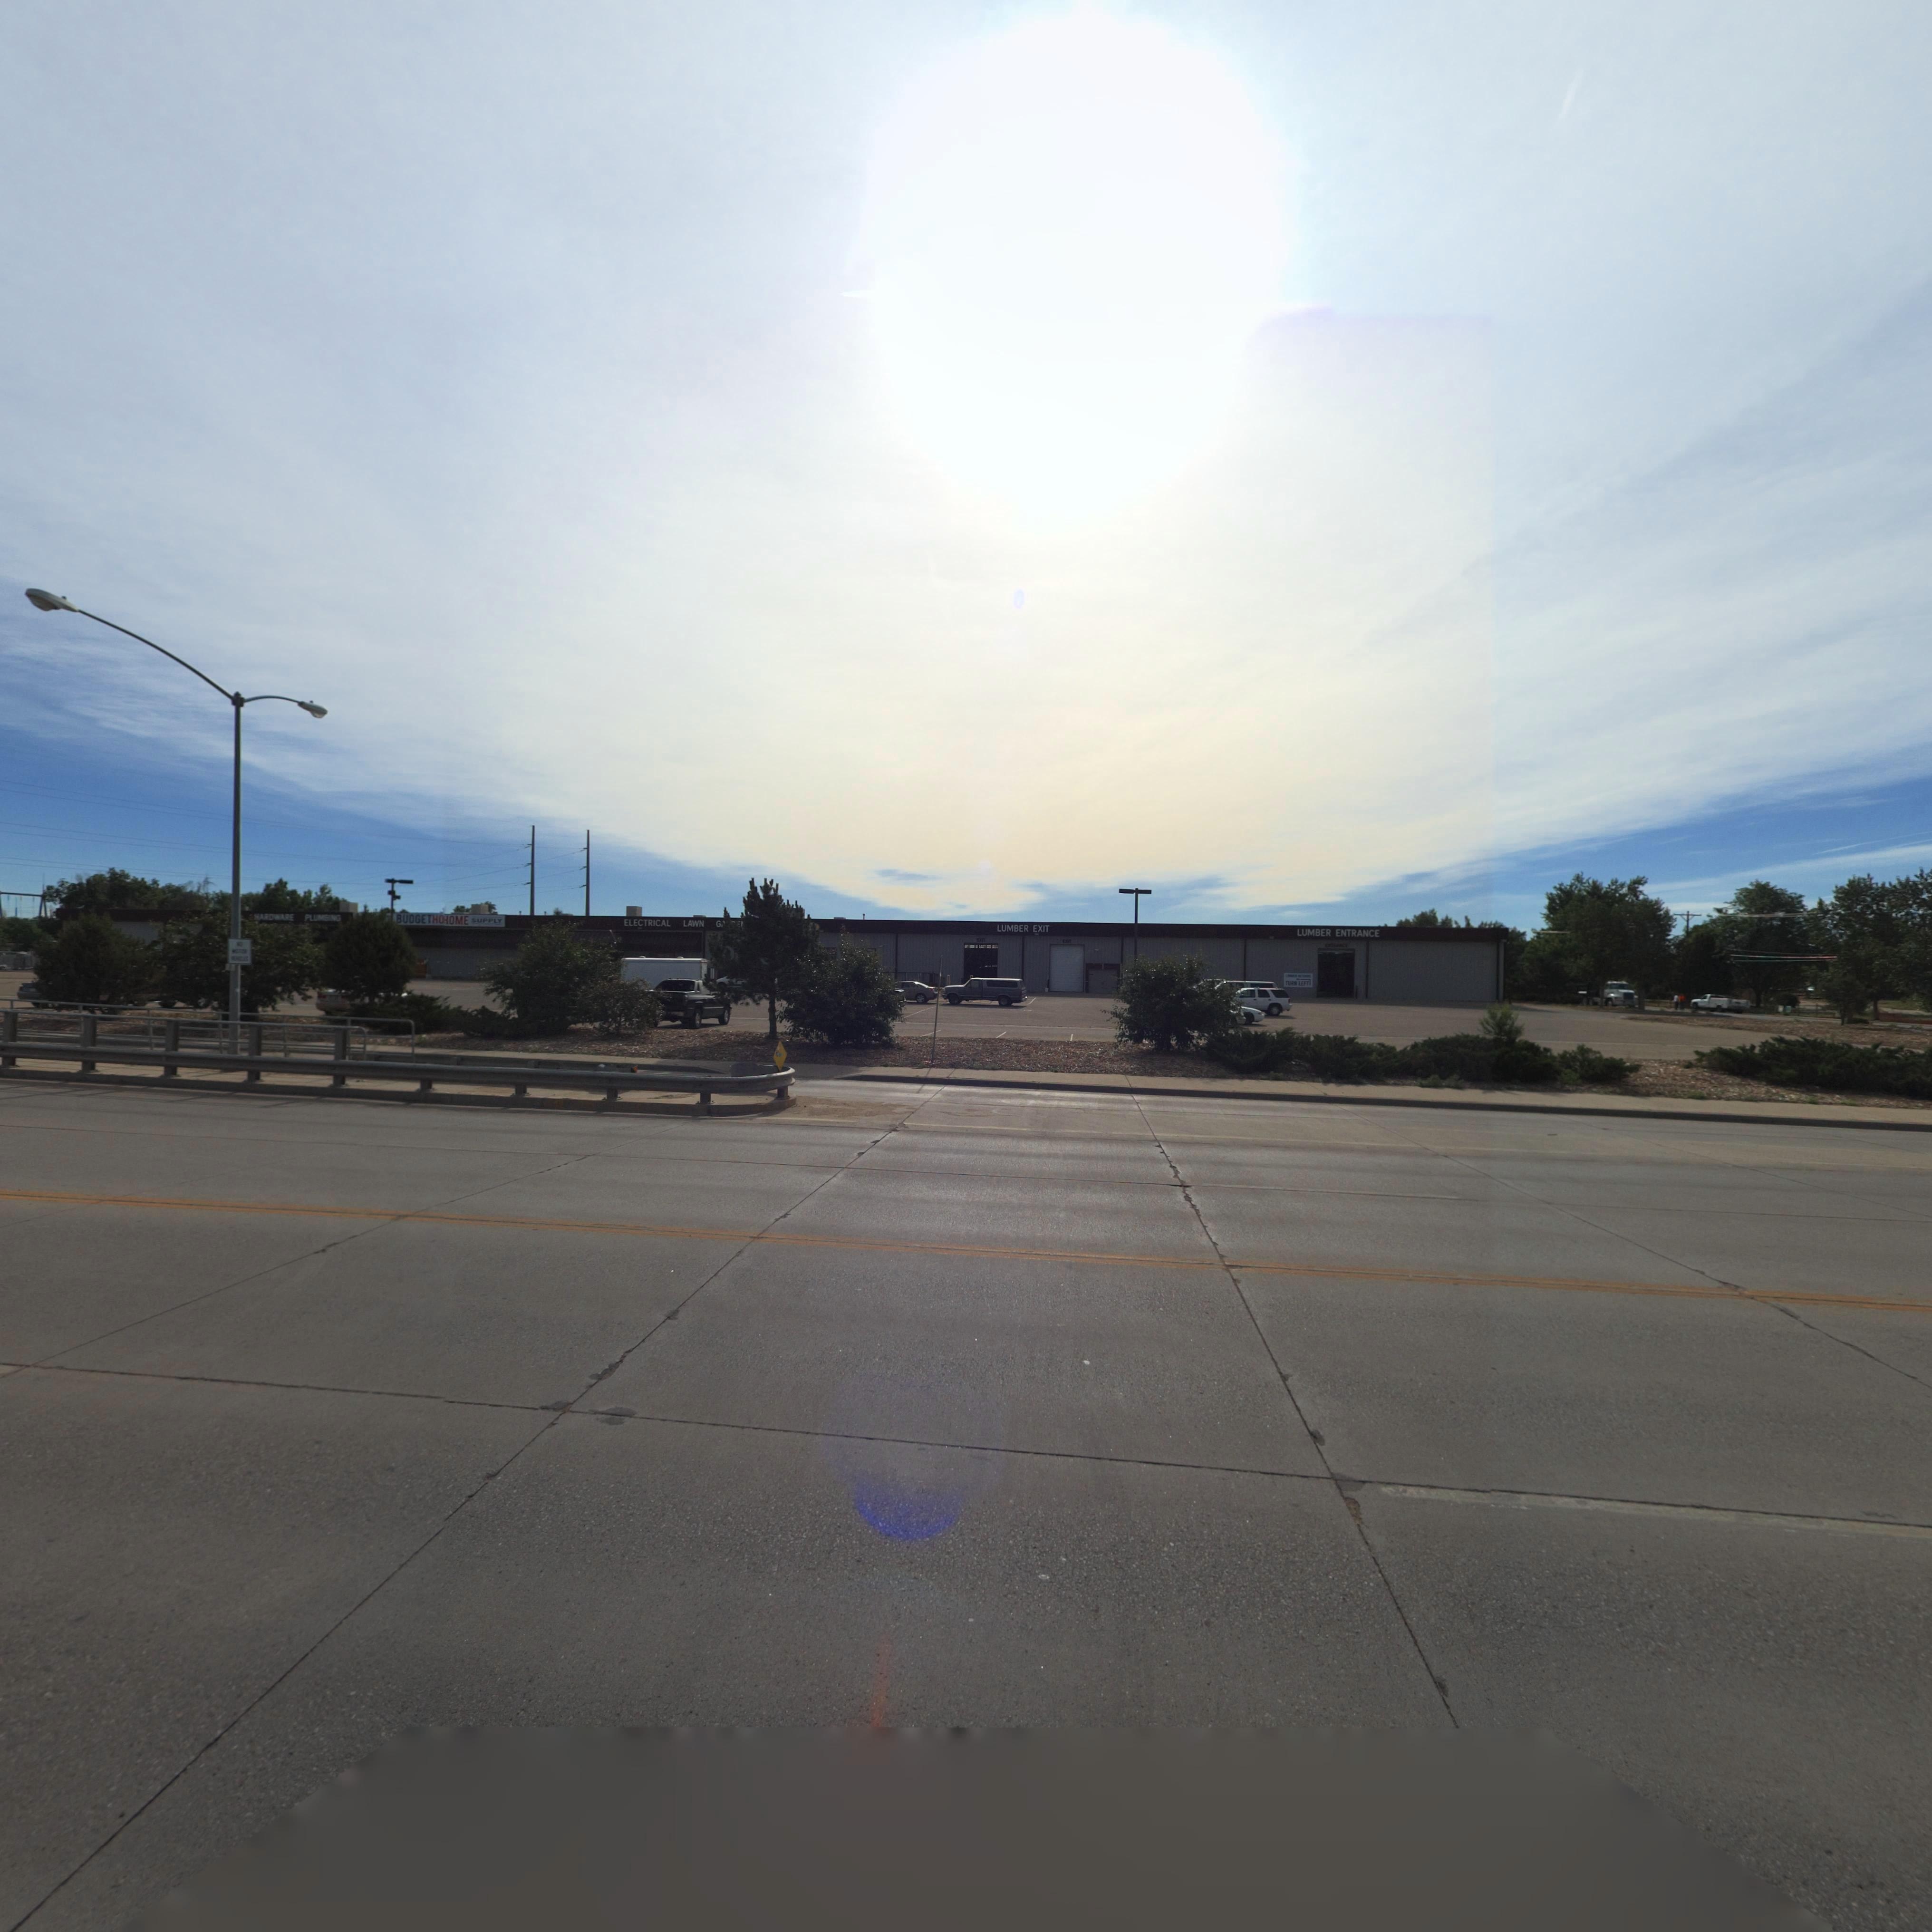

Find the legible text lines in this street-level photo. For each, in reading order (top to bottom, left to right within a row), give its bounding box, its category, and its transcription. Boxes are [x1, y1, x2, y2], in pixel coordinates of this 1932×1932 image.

[396, 913, 469, 925] BusinessName: BUDGETHO*OME
[471, 918, 503, 923] BusinessName: SUPPLY